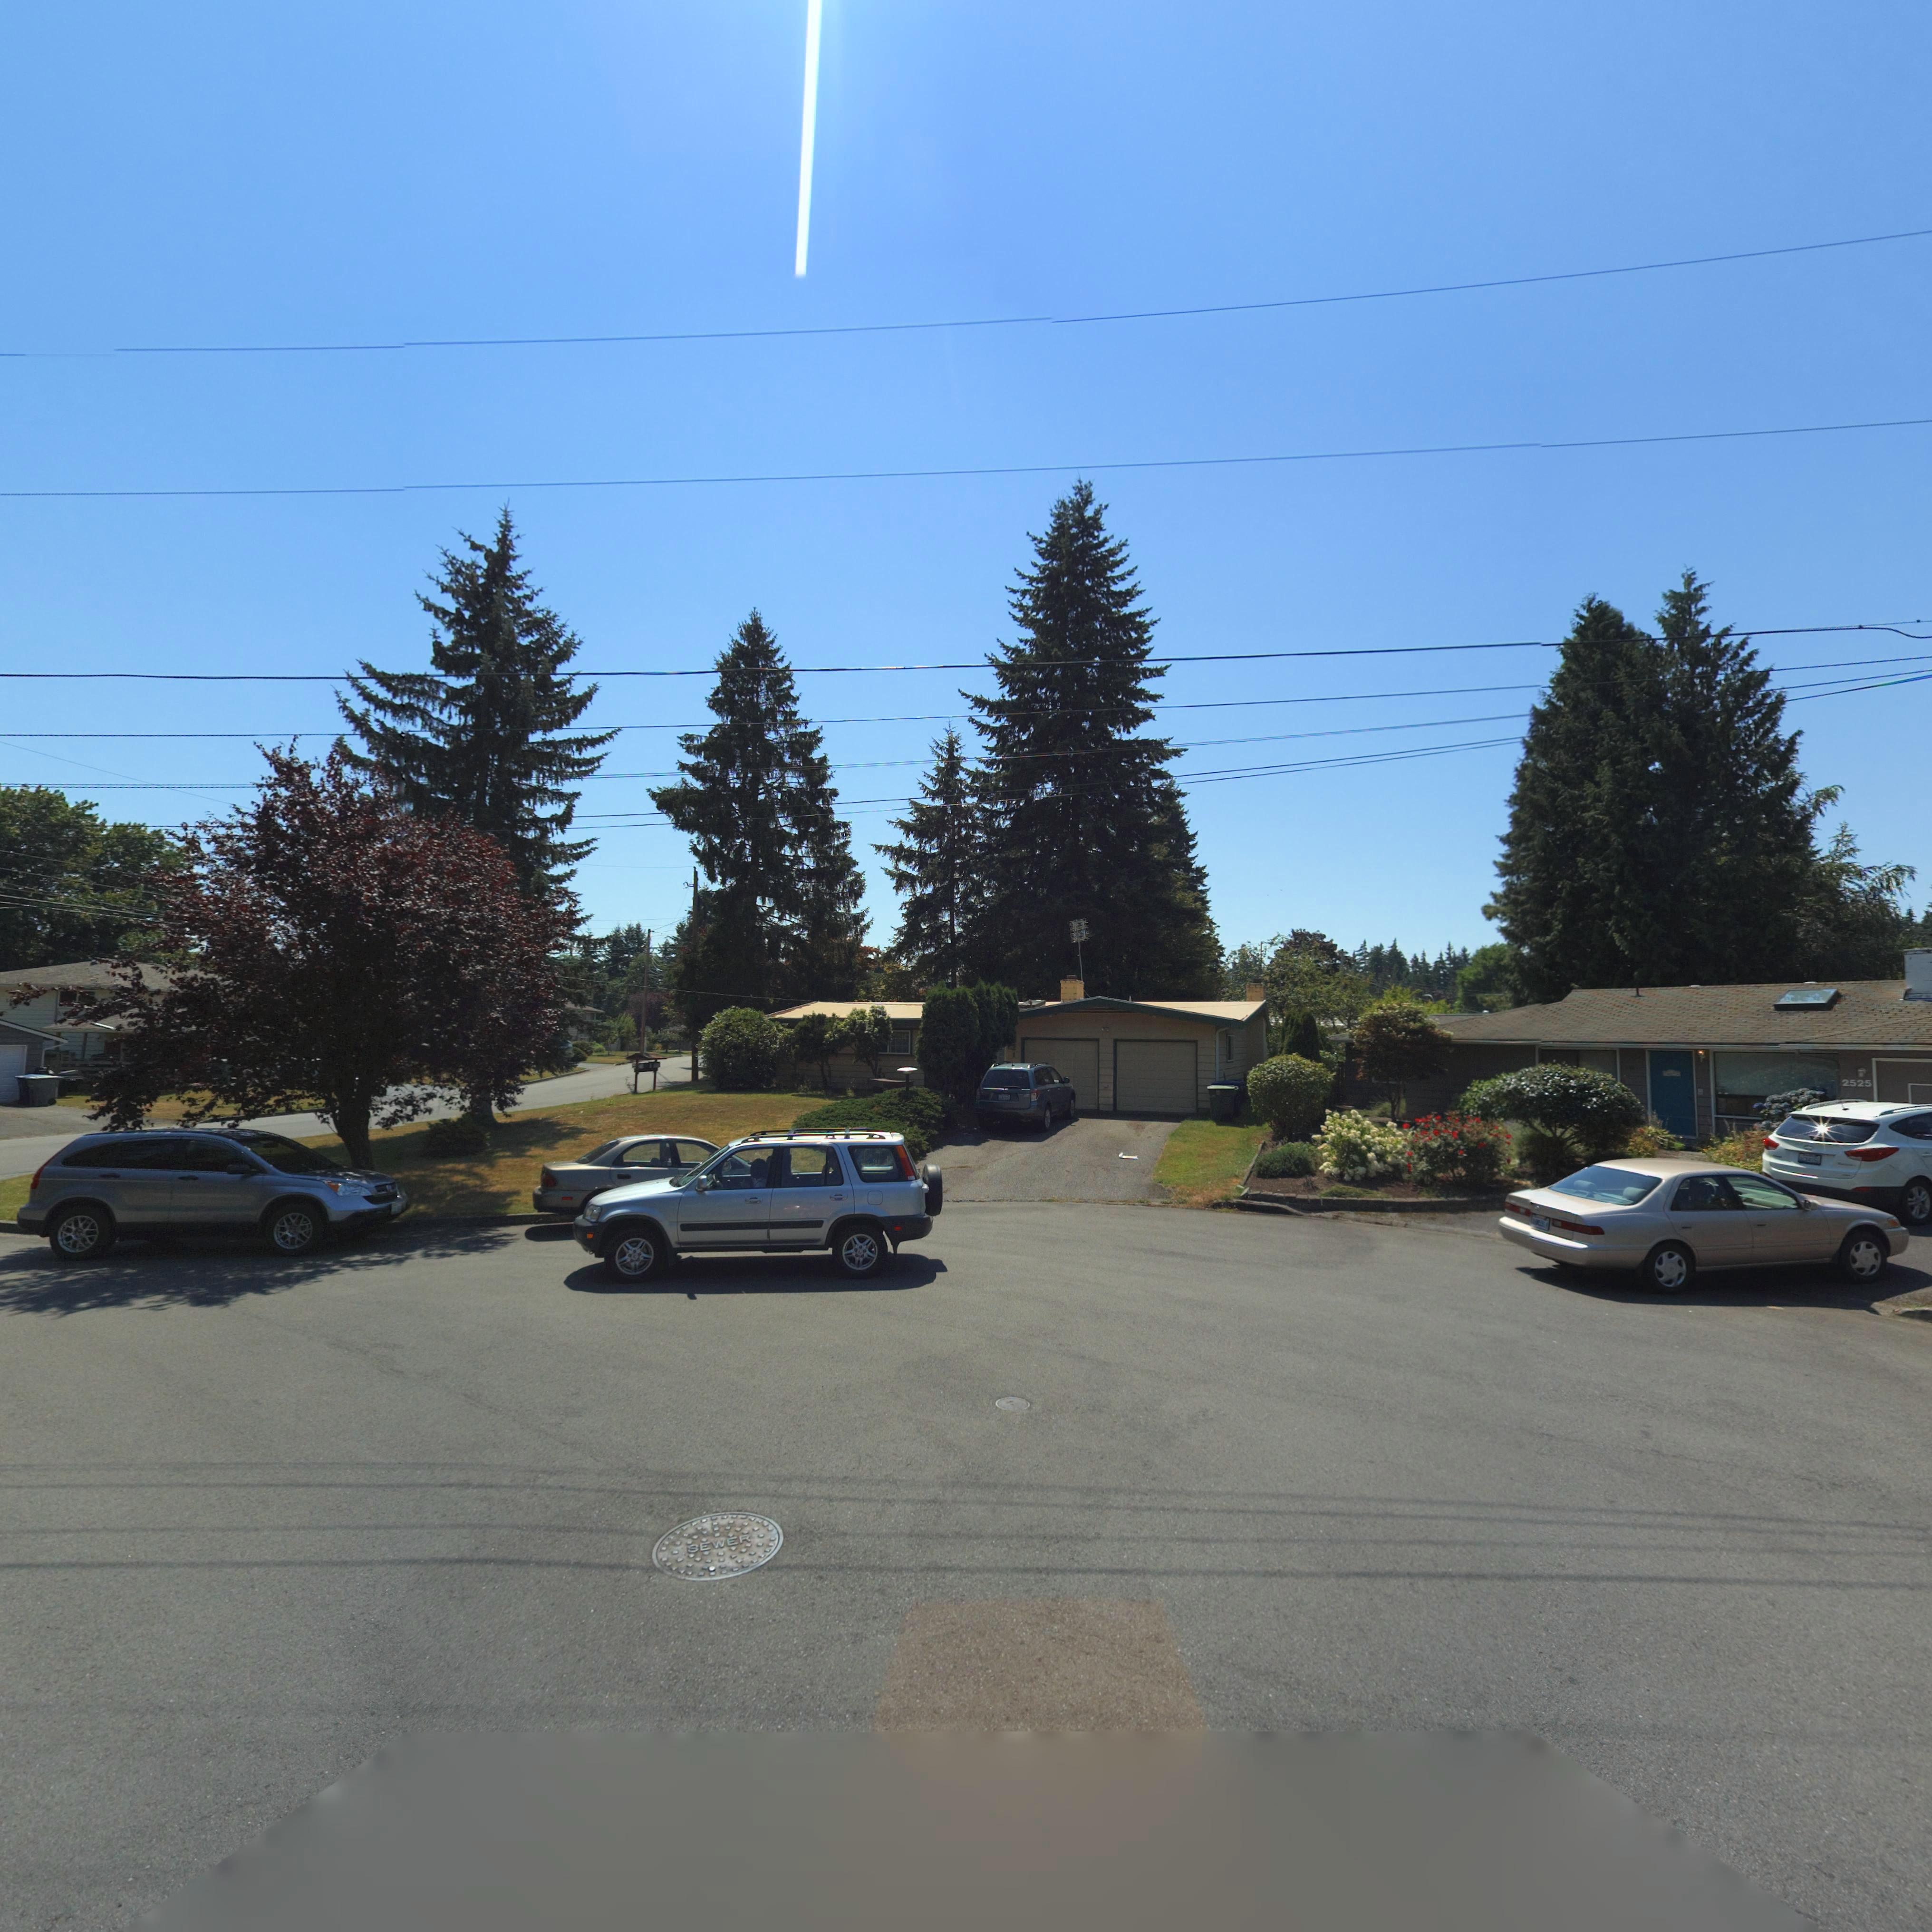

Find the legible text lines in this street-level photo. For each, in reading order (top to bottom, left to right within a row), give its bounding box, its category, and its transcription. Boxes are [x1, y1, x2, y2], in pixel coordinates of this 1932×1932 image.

[1011, 1044, 1016, 1058] StreetNumber: 21
[1841, 1078, 1872, 1087] StreetNumber: 2525